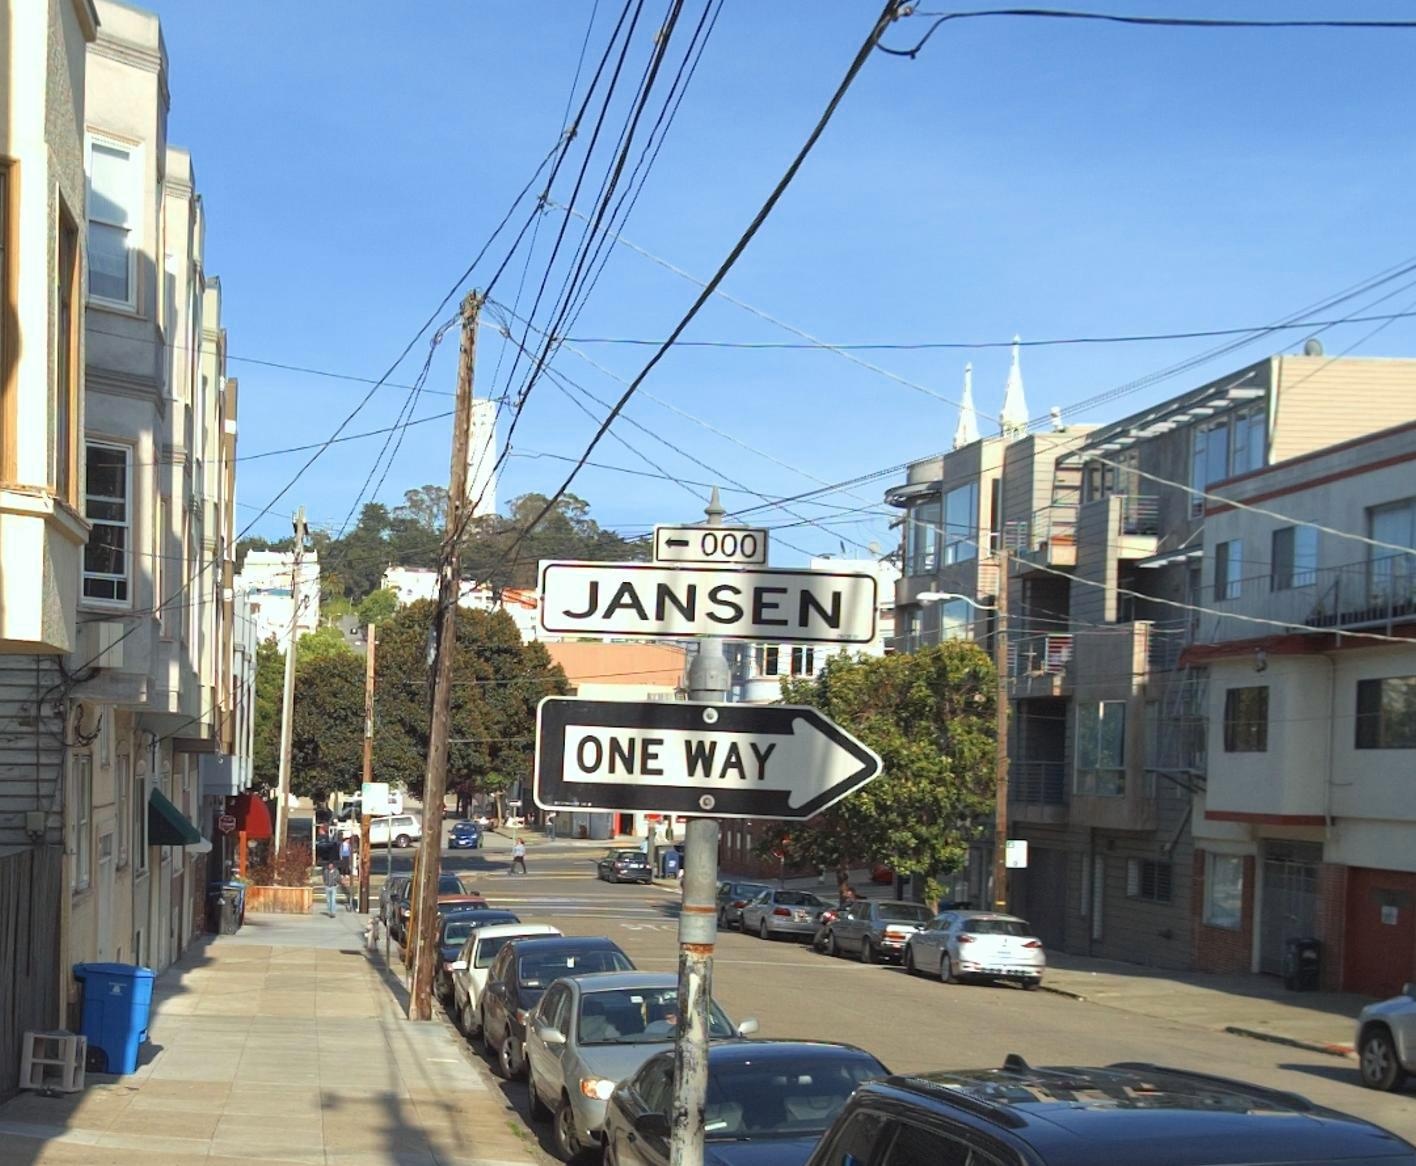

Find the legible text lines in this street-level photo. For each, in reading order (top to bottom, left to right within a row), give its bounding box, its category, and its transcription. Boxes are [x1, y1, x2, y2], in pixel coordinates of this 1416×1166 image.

[662, 529, 760, 562] StreetNumberRange: <-000
[555, 575, 845, 632] StreetName: JANSEN
[574, 731, 781, 784] None: ONE WAY